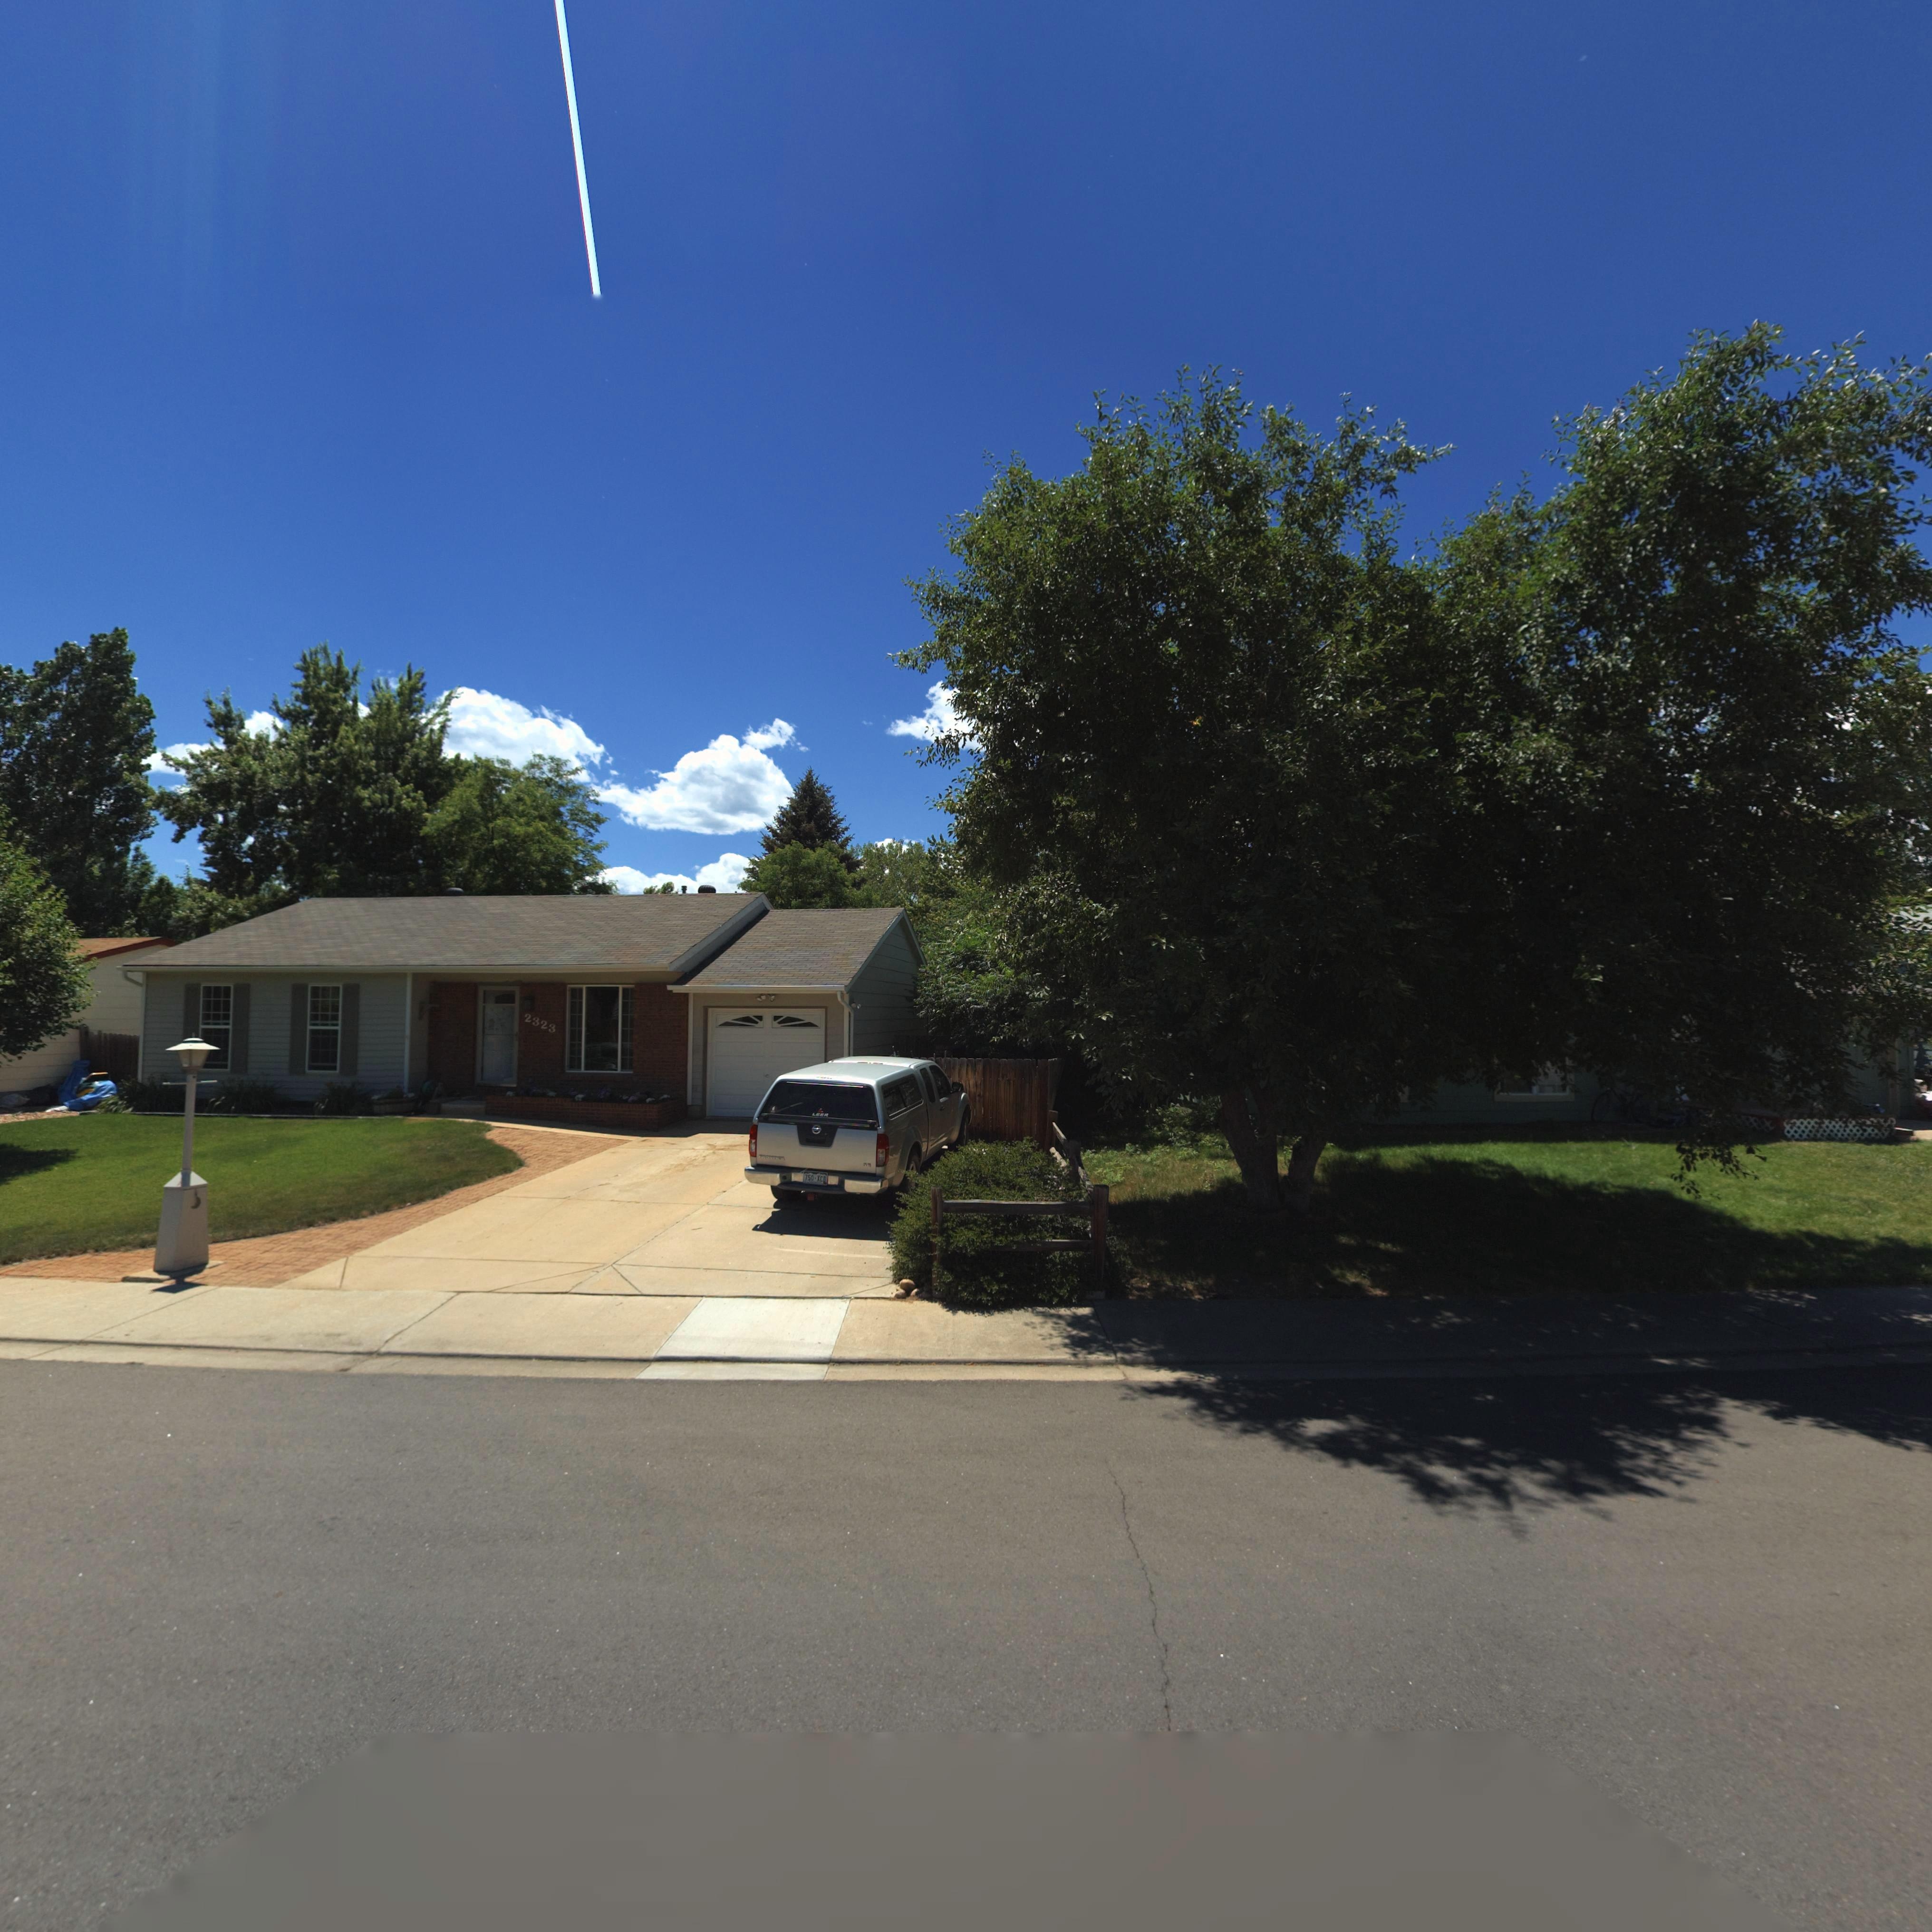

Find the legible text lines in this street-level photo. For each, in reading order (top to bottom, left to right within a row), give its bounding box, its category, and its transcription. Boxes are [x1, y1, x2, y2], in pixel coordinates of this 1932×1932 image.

[523, 1013, 556, 1034] StreetNumber: 2323